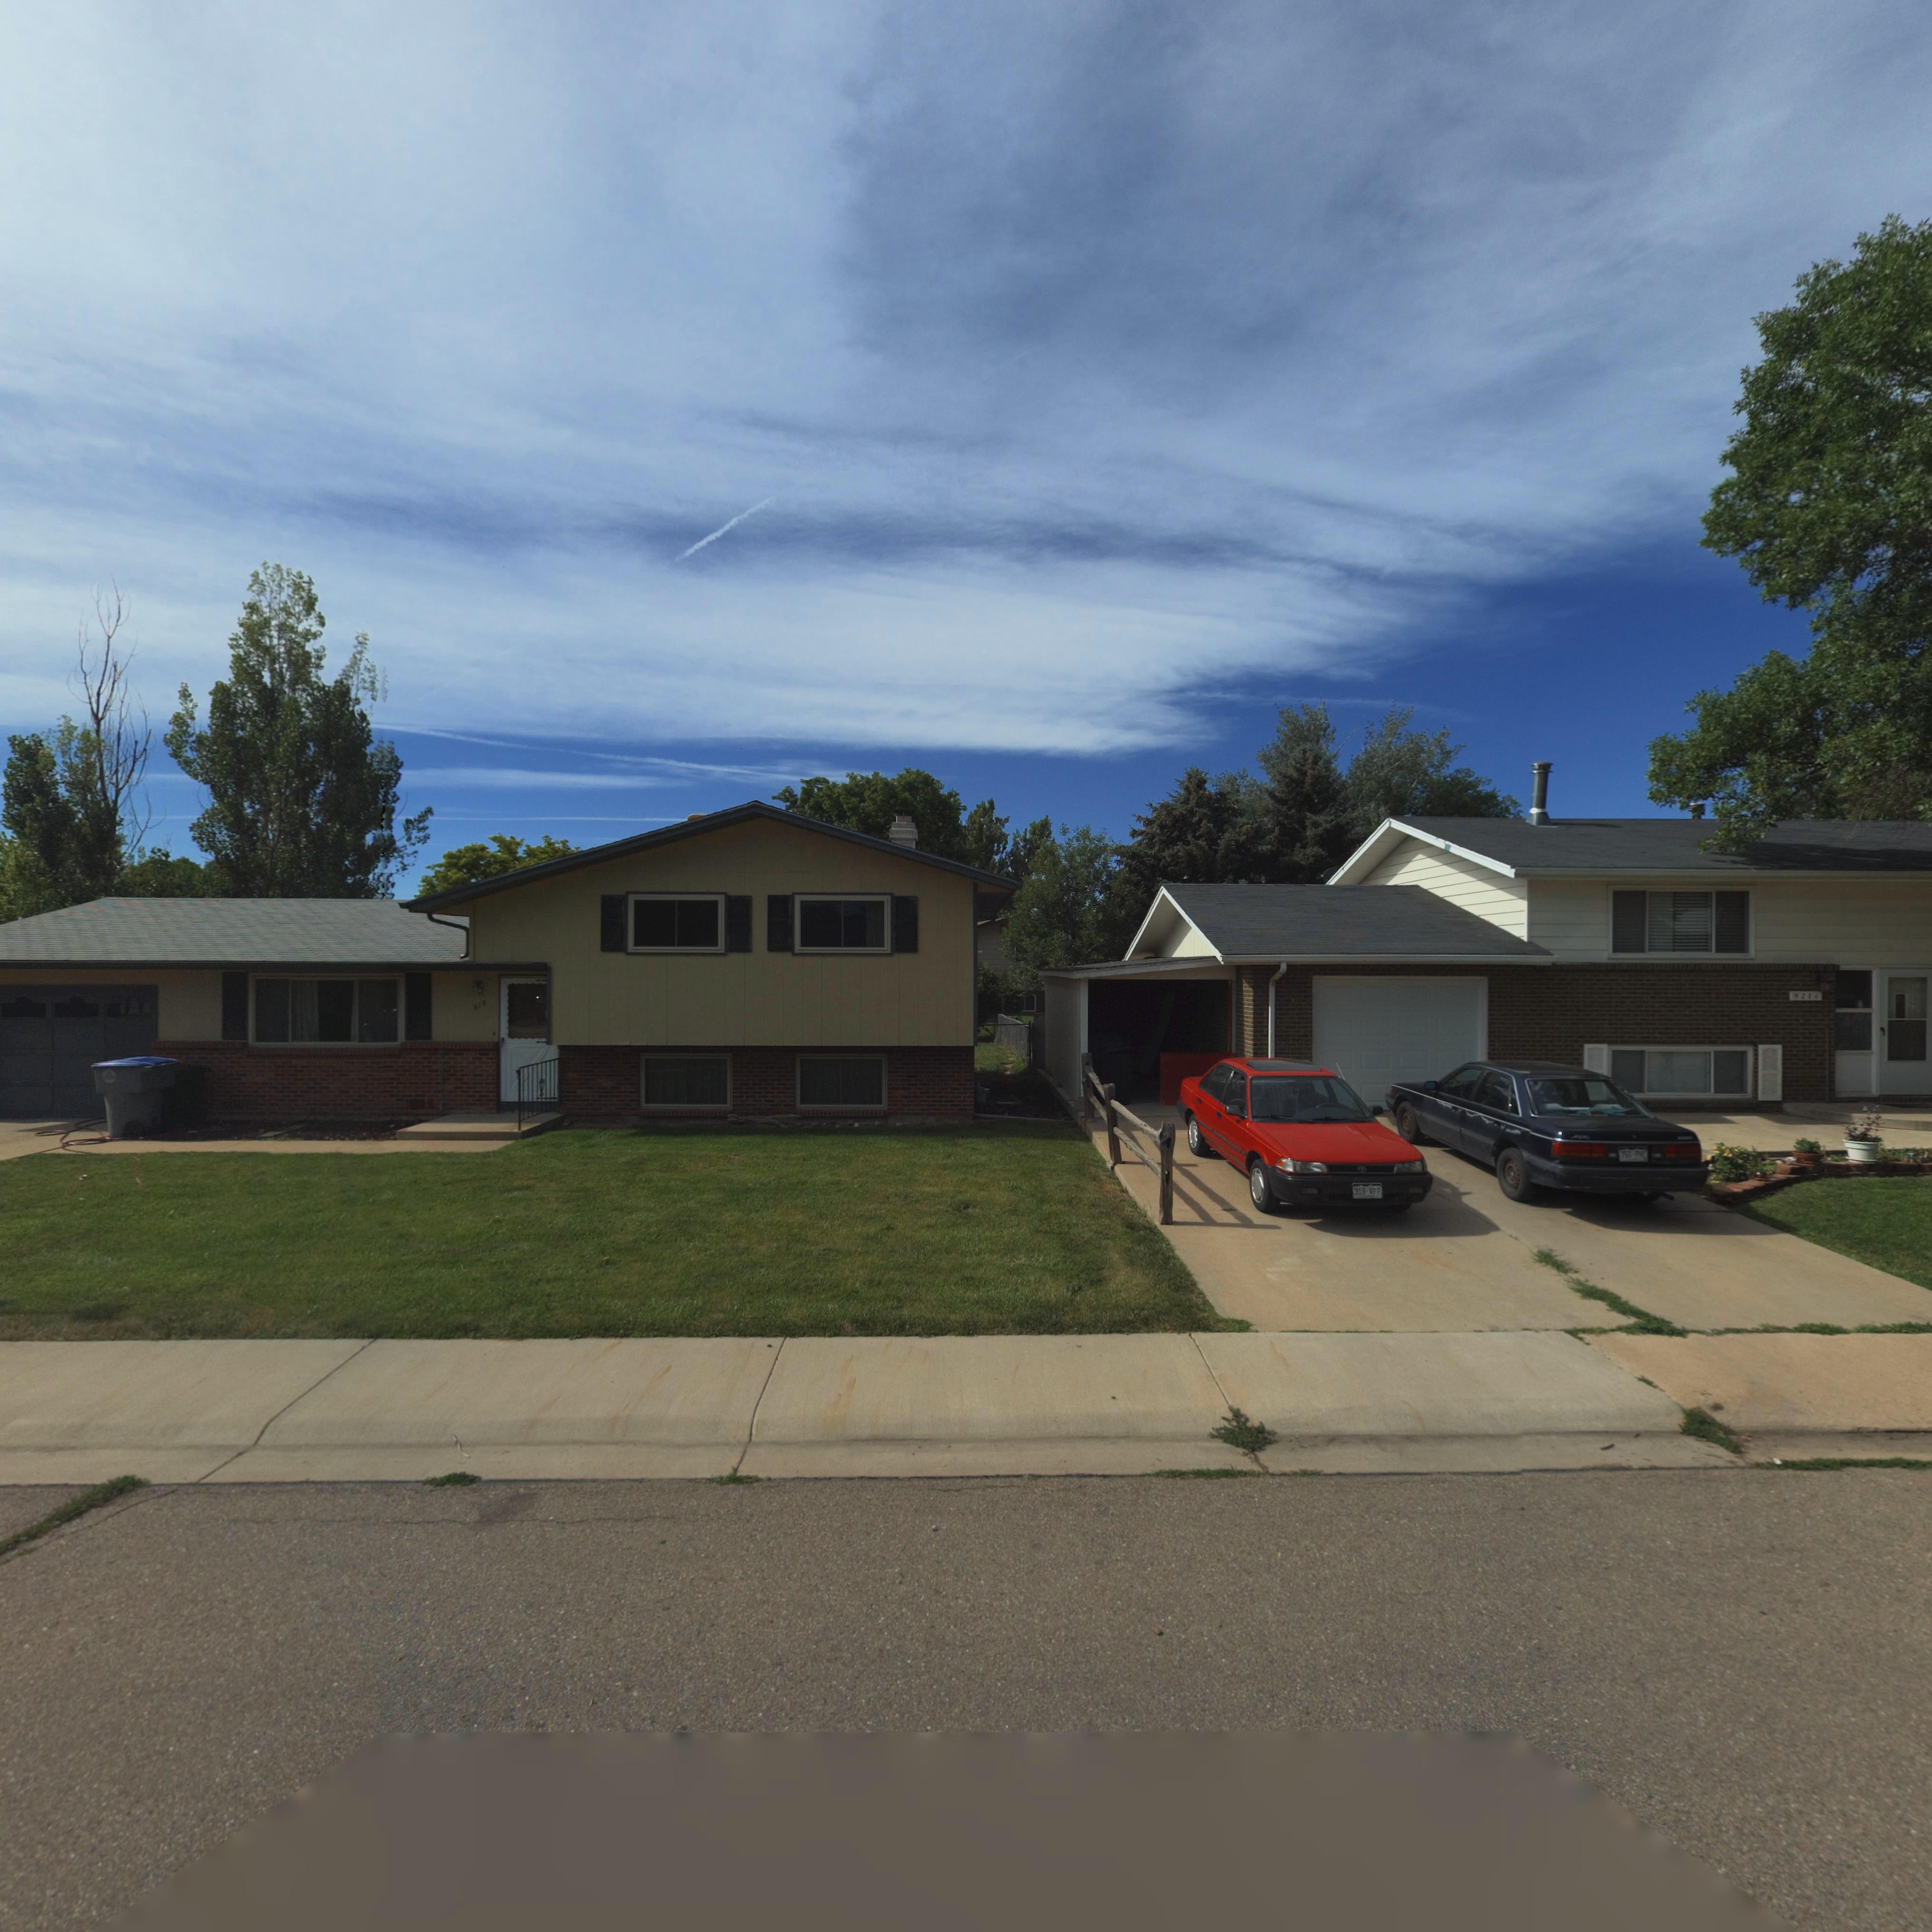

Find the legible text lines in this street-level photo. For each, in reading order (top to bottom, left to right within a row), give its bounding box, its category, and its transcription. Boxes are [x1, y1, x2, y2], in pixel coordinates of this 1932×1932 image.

[1793, 992, 1811, 999] StreetNumber: 921
[473, 999, 487, 1012] StreetNumber: 913